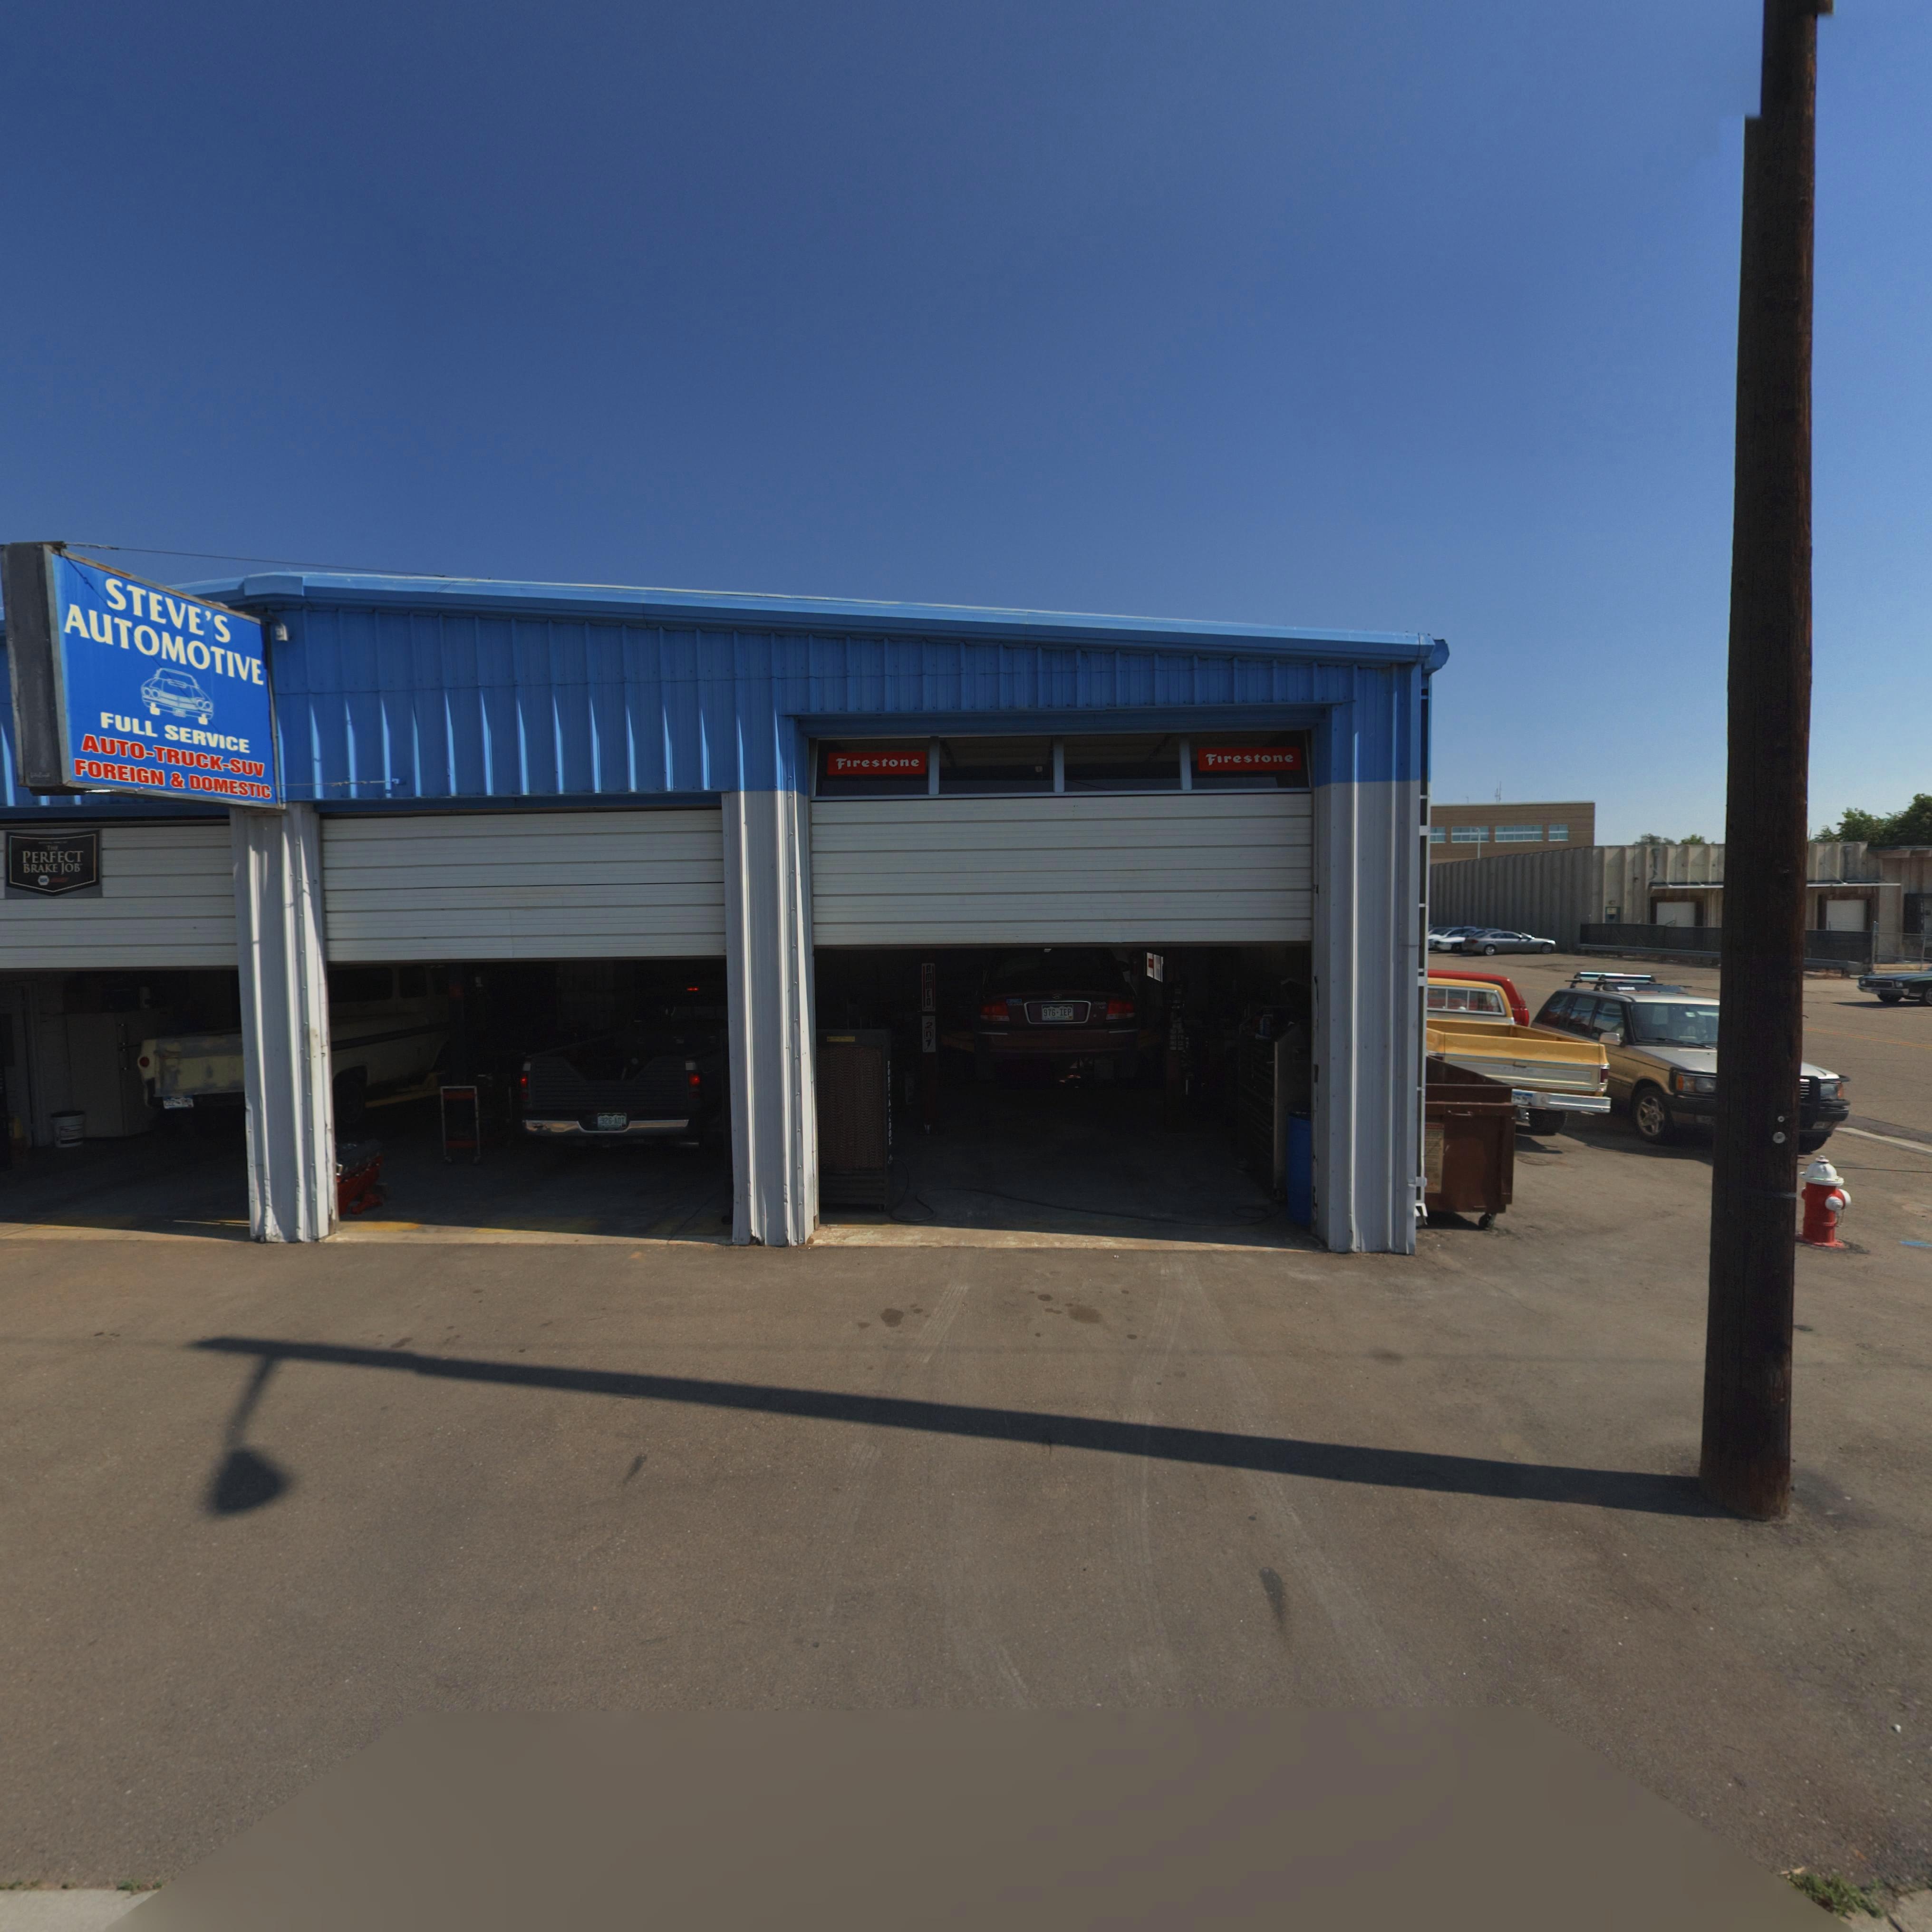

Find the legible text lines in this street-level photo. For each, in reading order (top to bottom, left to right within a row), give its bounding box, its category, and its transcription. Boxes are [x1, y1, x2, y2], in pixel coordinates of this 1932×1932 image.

[61, 599, 265, 687] BusinessName: AUTOMOTIVE
[102, 573, 233, 645] BusinessName: STEVE'S